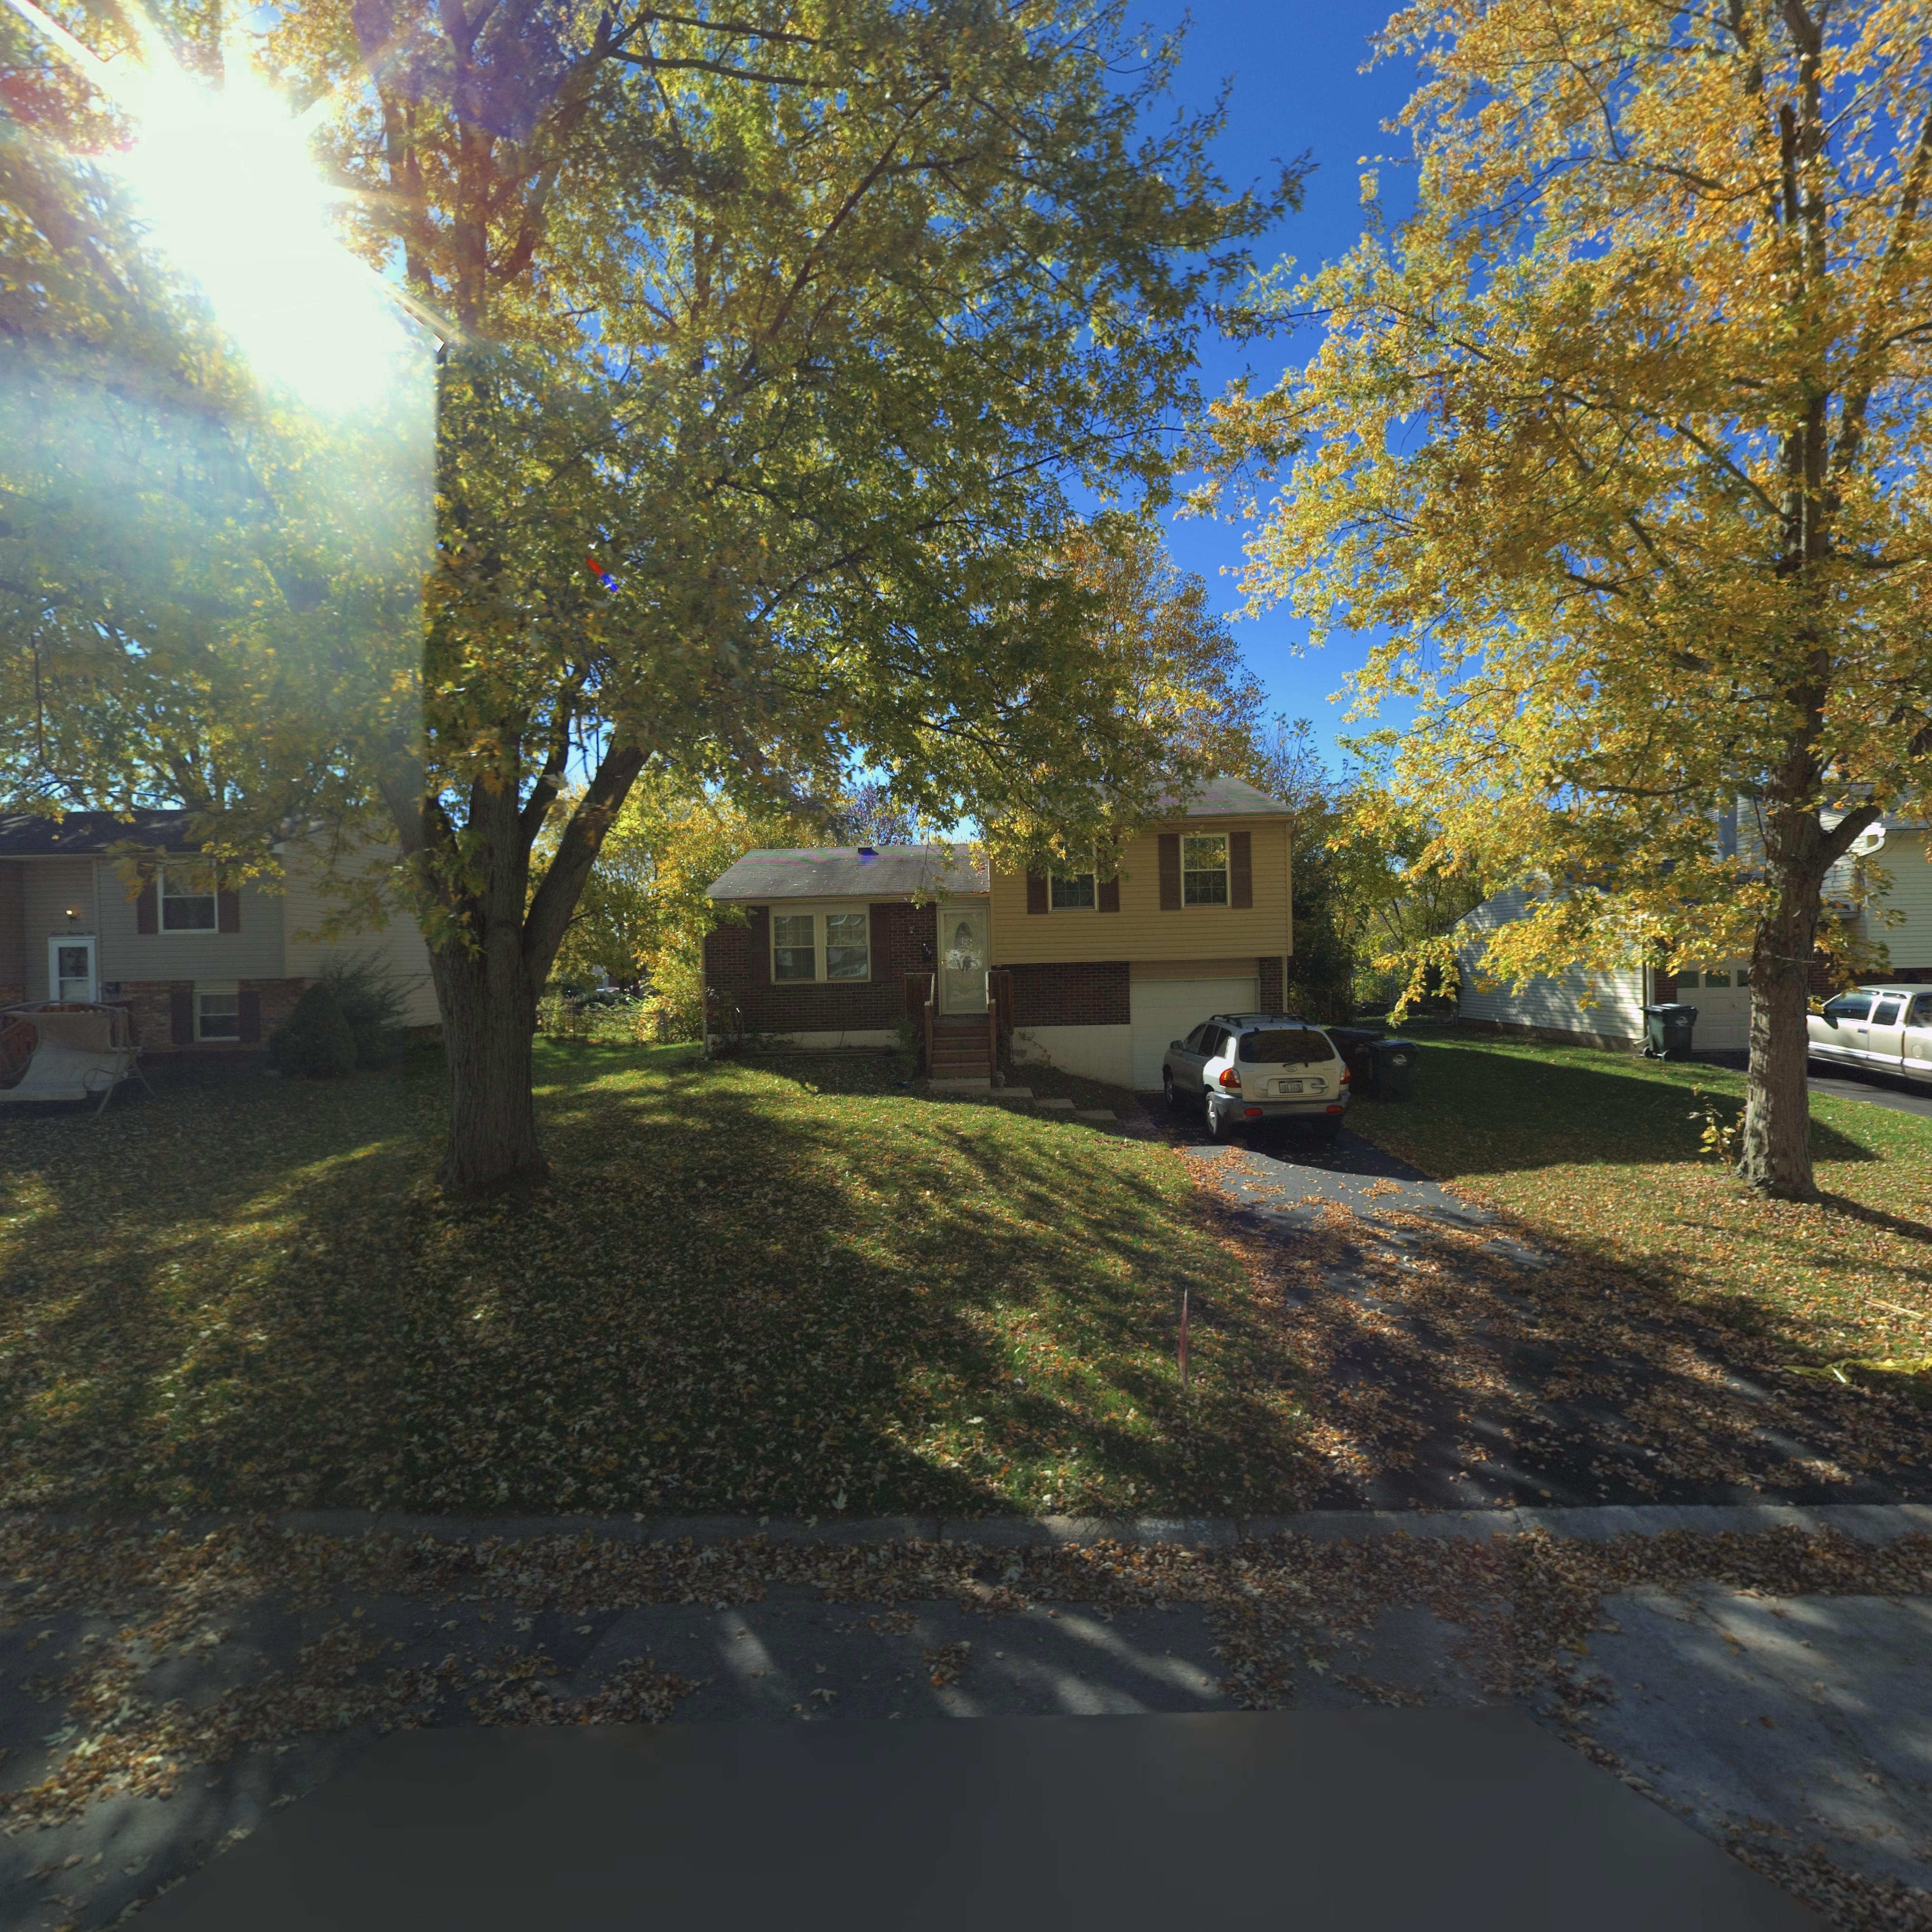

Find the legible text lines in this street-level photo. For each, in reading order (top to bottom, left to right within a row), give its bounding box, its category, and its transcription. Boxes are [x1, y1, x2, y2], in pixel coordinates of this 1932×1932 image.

[922, 943, 931, 955] StreetNumber: 709
[1280, 1082, 1301, 1092] None: *** 14**